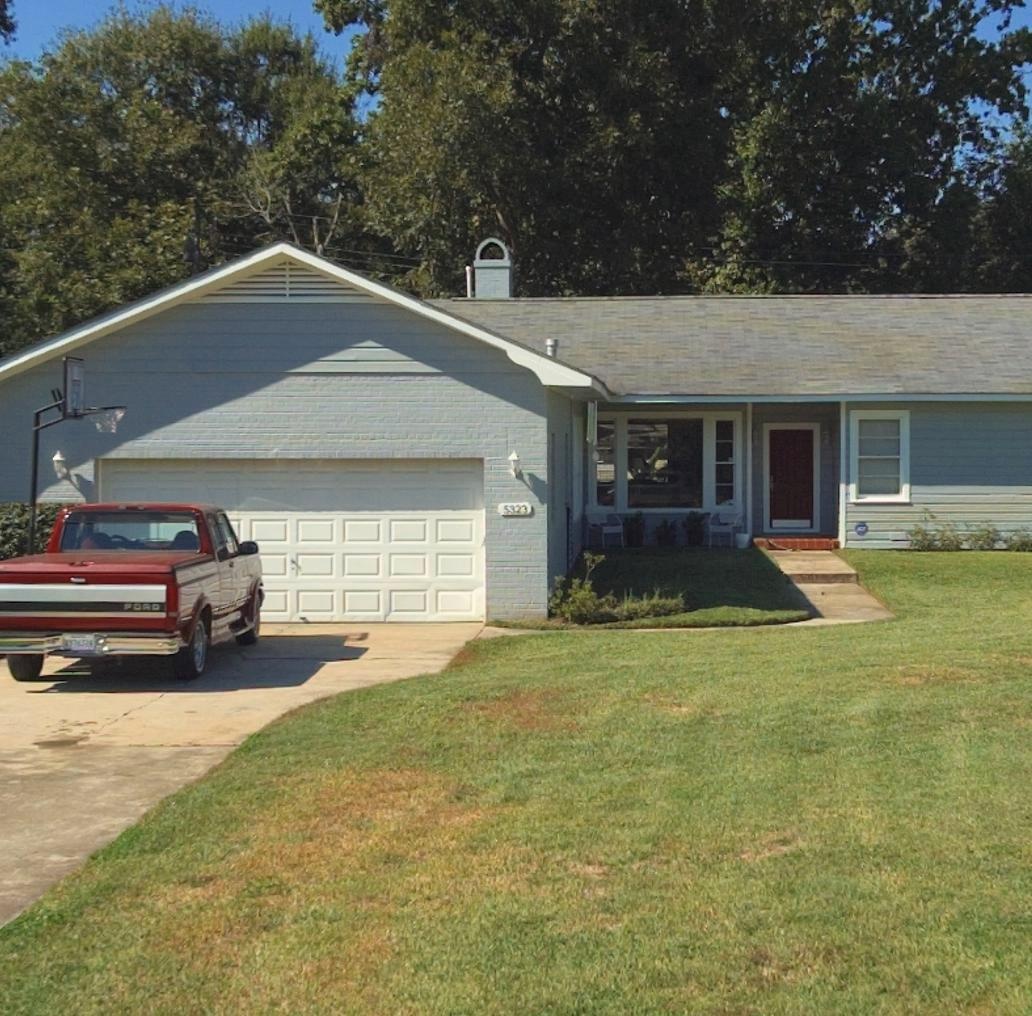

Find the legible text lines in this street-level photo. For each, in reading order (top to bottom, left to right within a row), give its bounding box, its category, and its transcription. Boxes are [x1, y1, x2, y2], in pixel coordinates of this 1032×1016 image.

[502, 504, 529, 515] StreetNumber: 5323